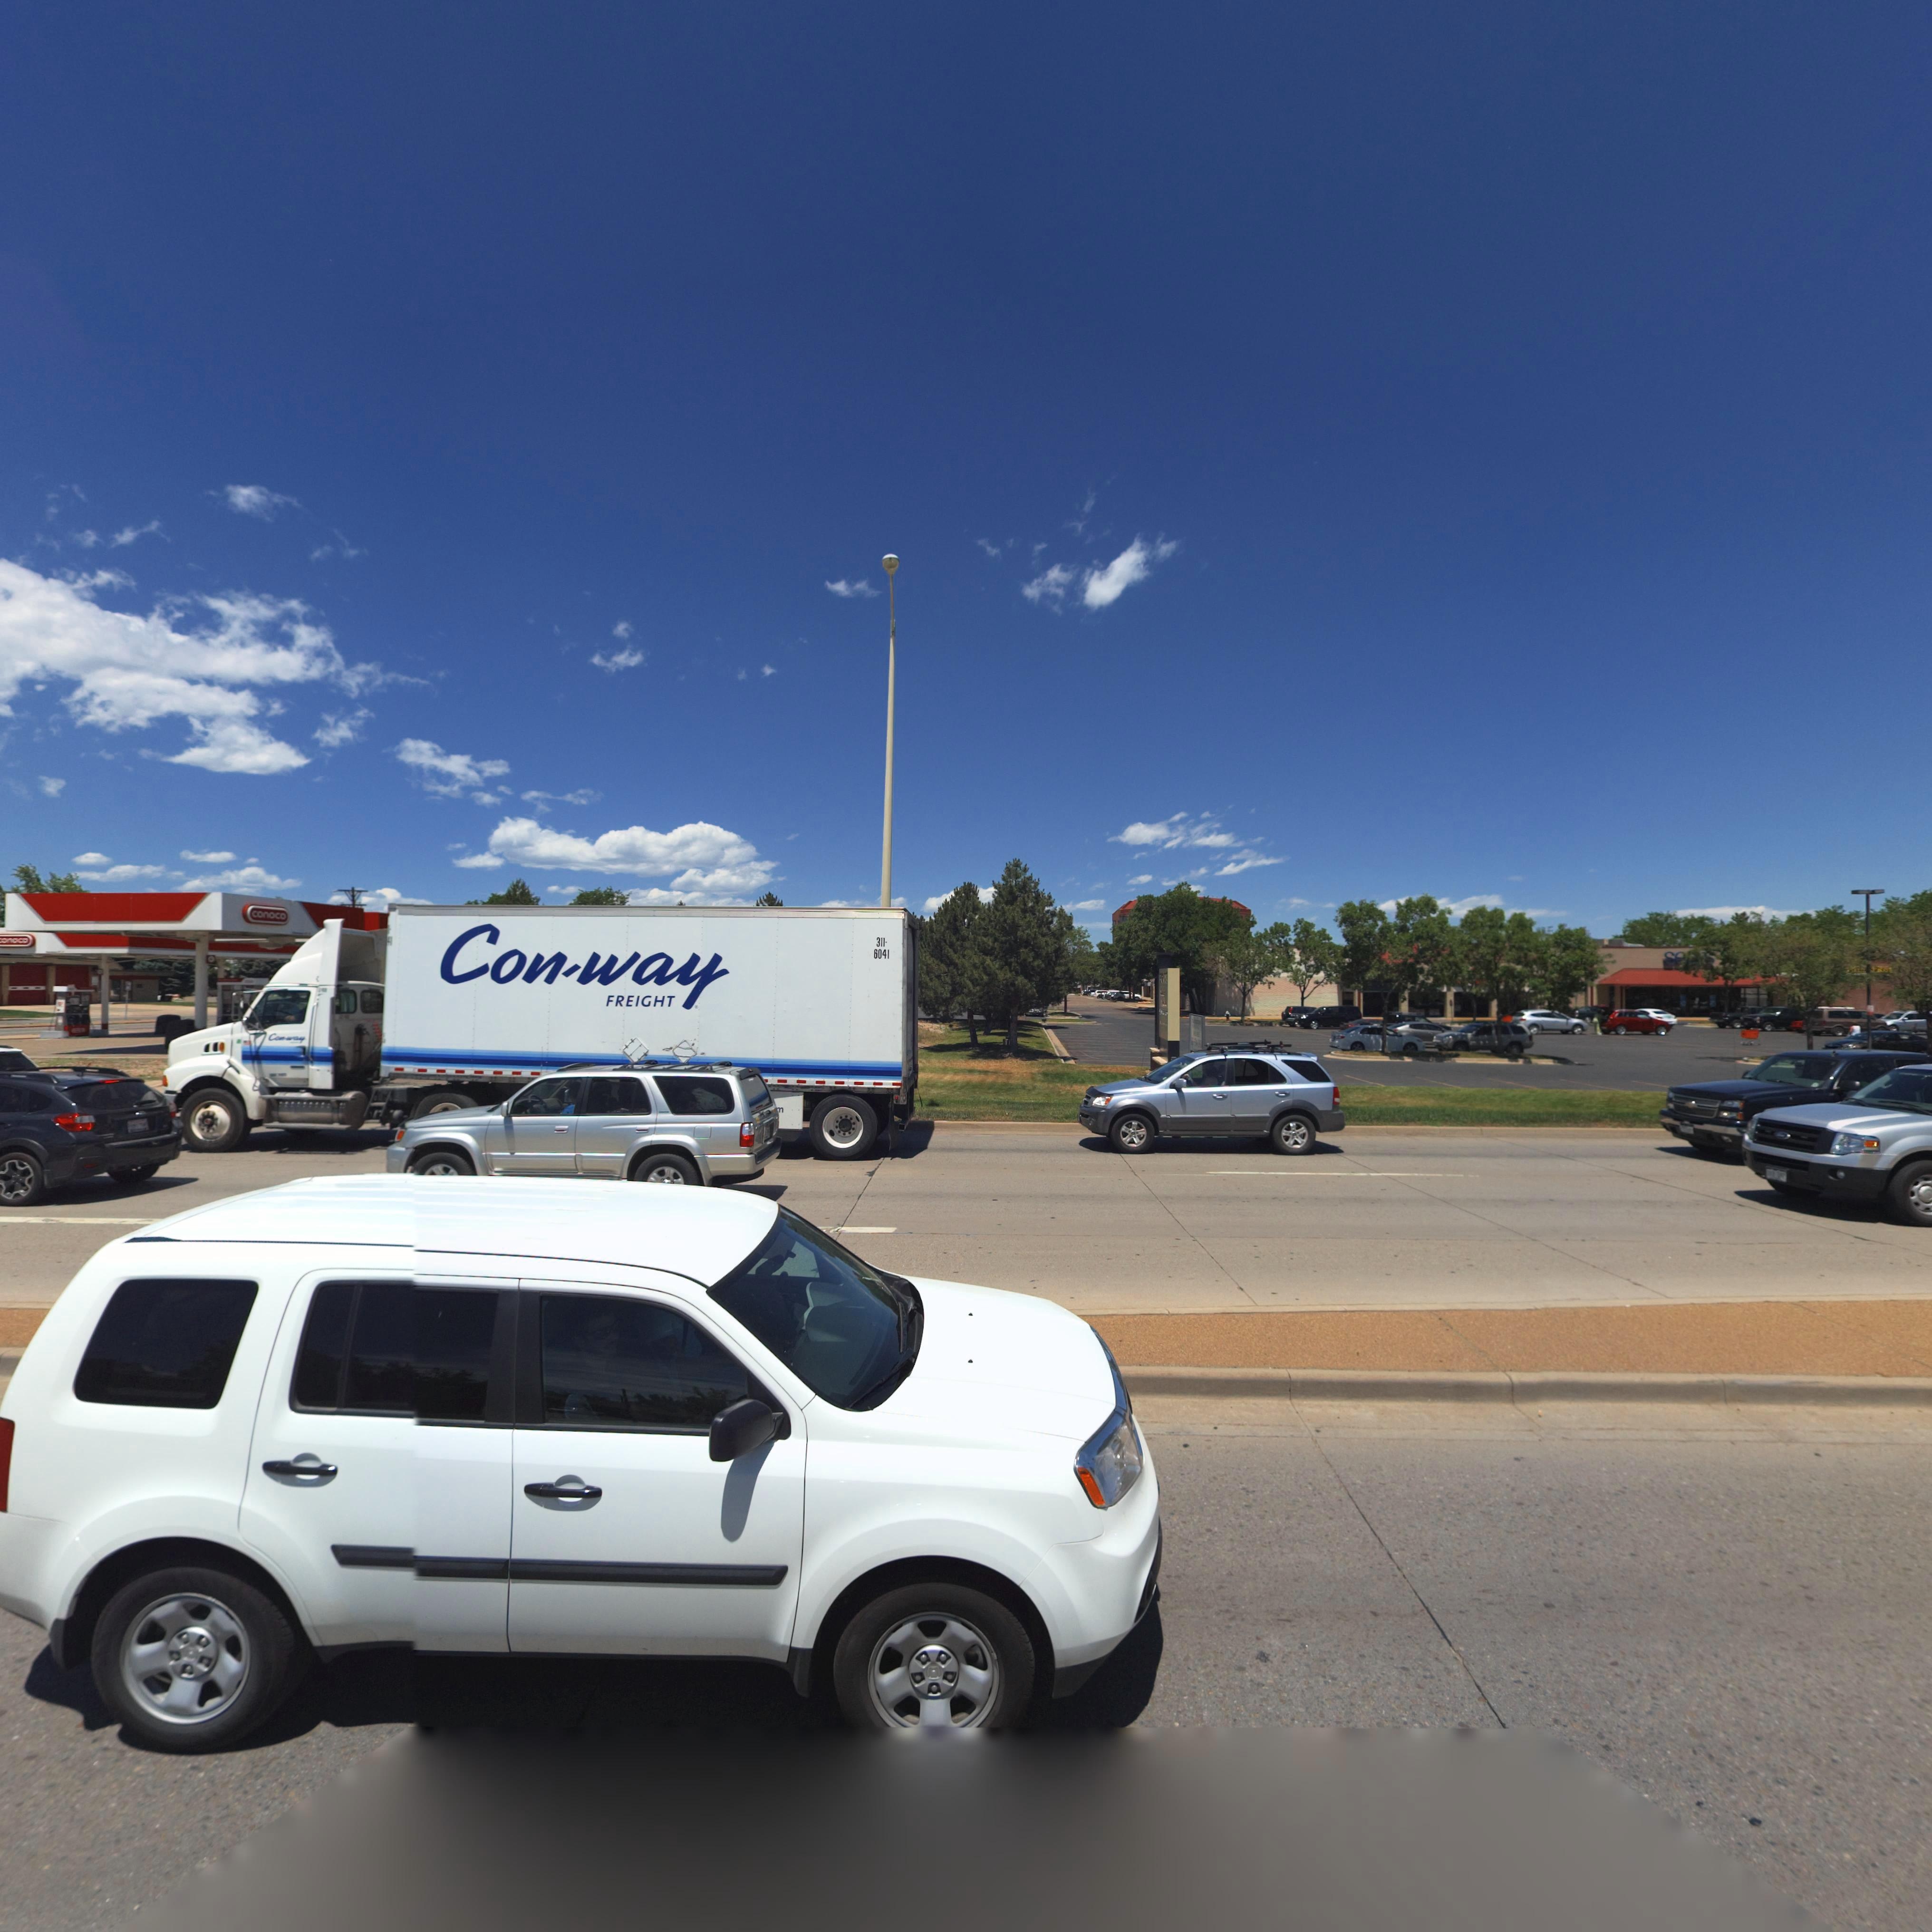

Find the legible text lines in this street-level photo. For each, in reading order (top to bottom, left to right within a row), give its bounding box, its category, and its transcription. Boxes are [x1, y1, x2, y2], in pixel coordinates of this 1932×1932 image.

[251, 910, 287, 920] BusinessName: conoco
[1, 937, 29, 943] BusinessName: onoco
[1663, 951, 1686, 965] BusinessName: se